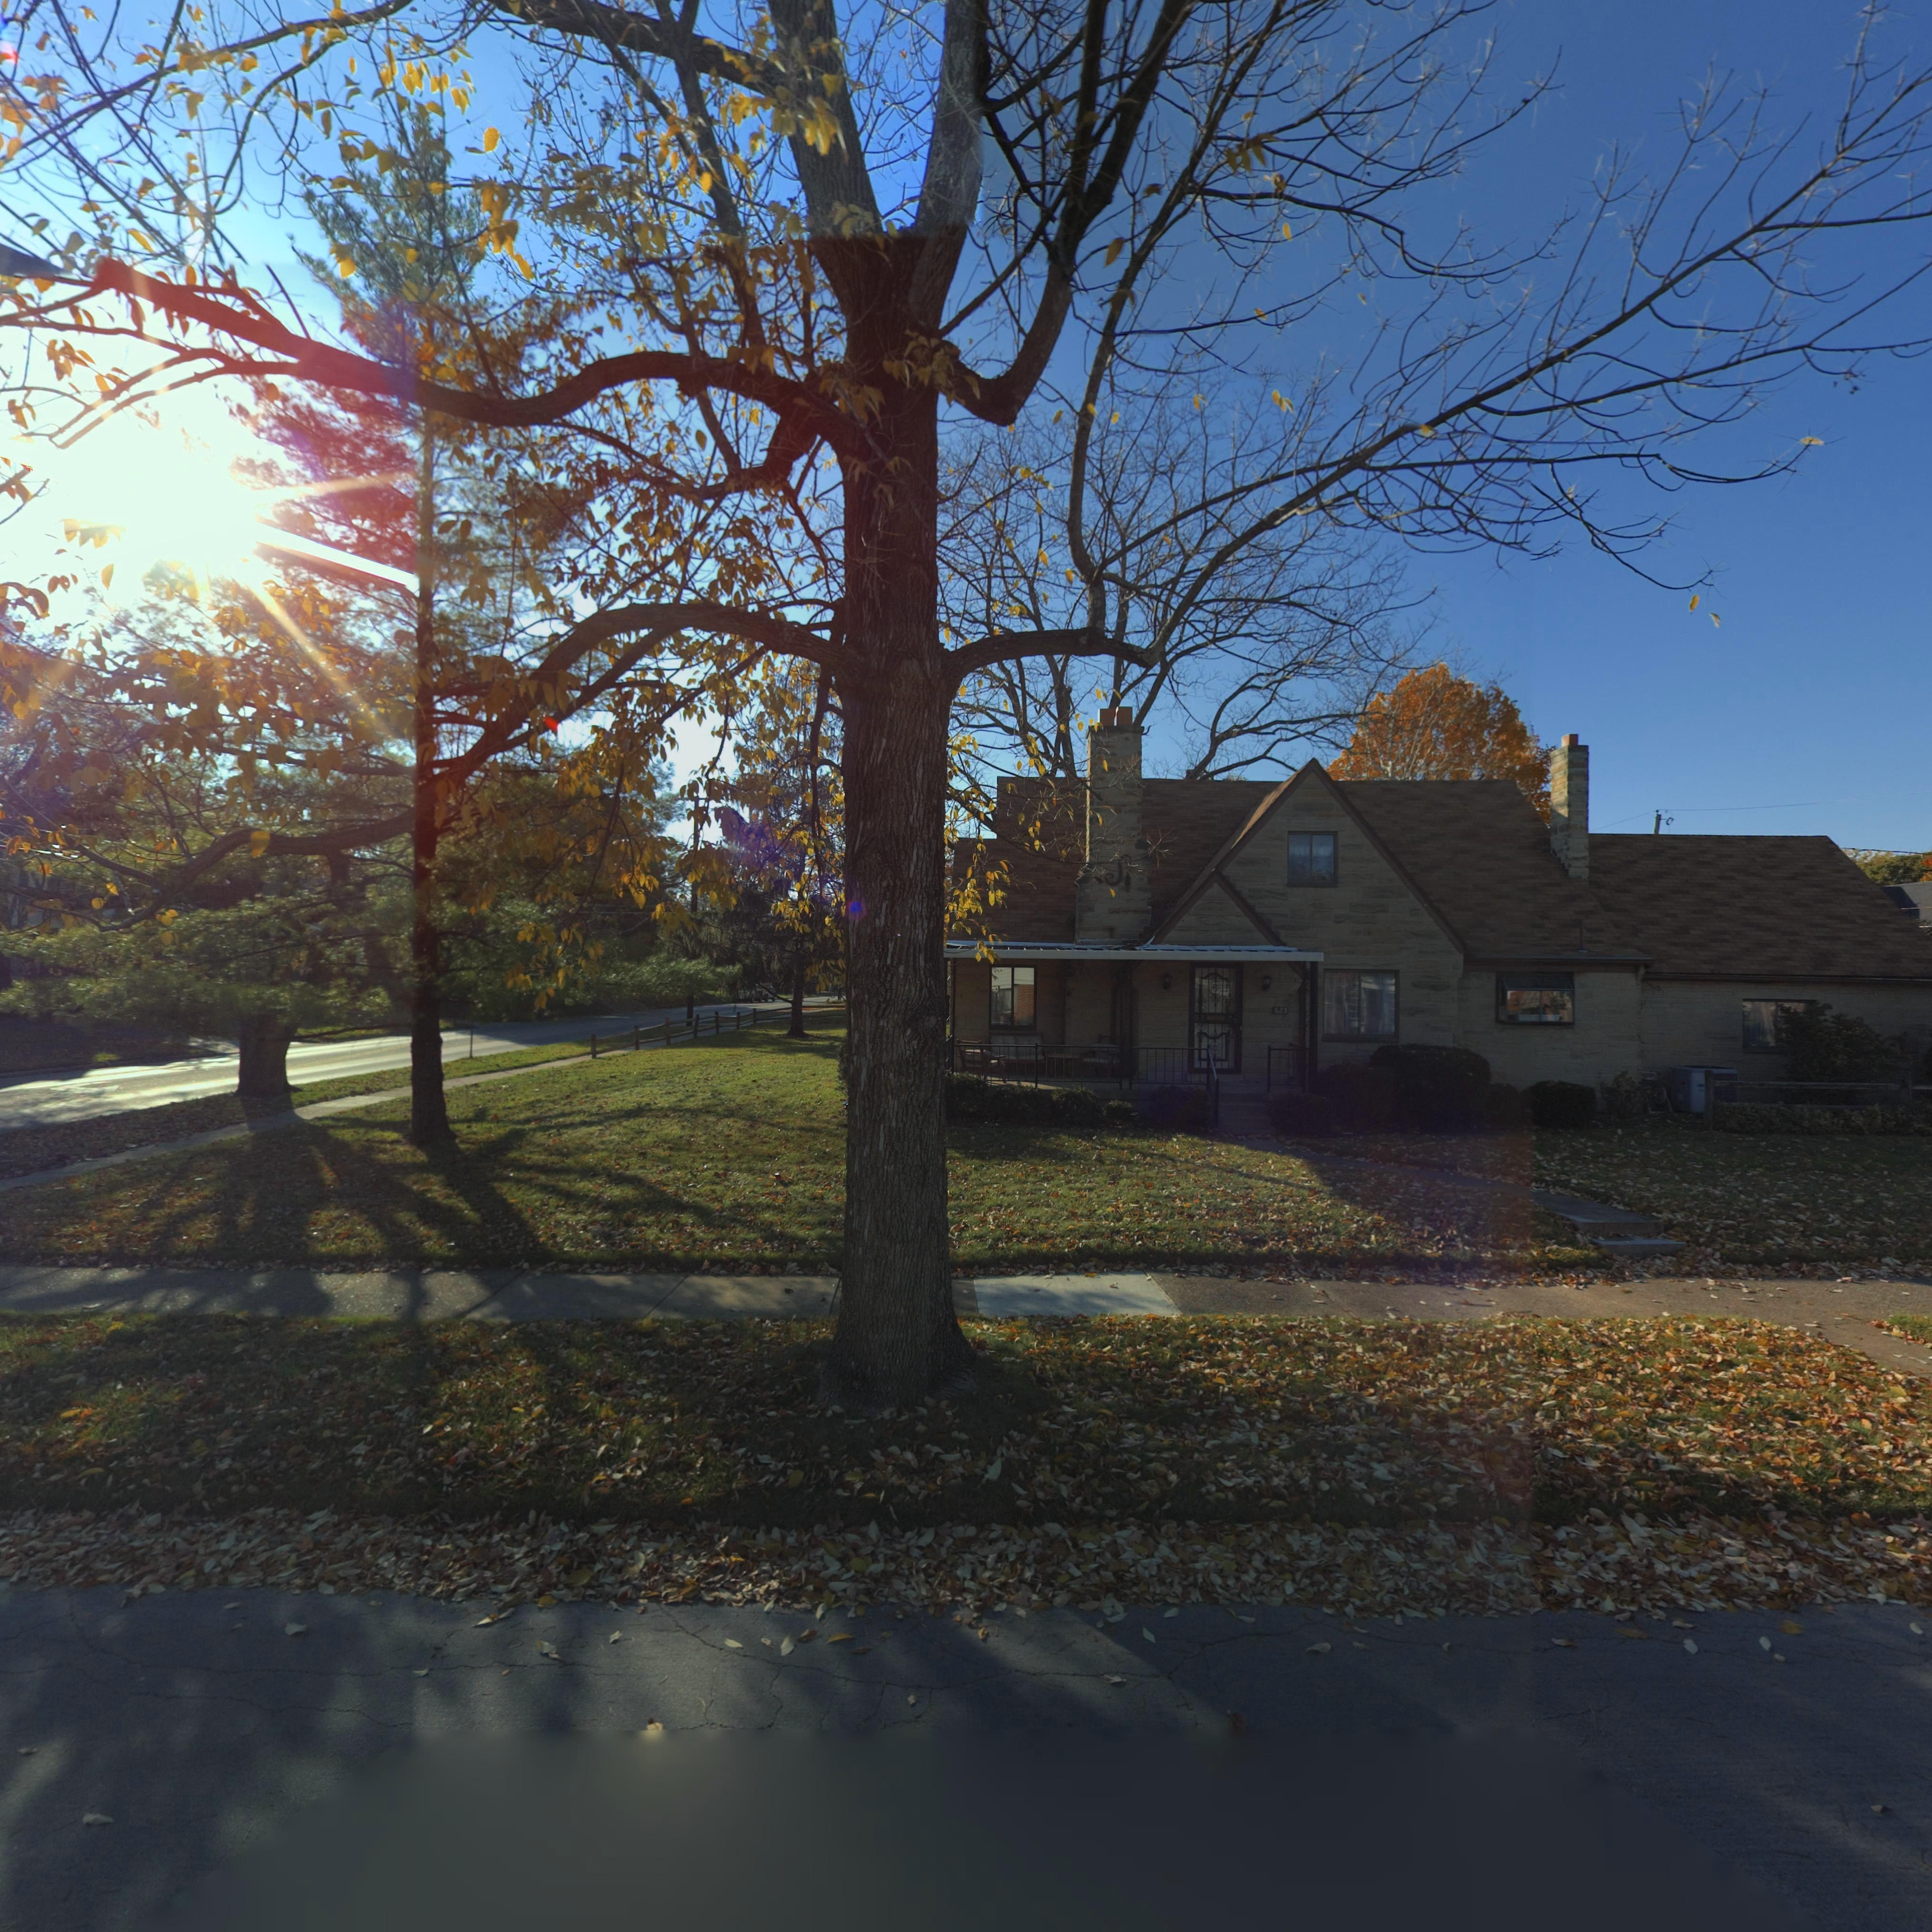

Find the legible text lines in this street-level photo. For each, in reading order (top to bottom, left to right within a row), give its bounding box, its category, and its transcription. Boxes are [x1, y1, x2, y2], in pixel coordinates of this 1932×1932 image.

[1274, 1007, 1287, 1014] StreetNumber: 625